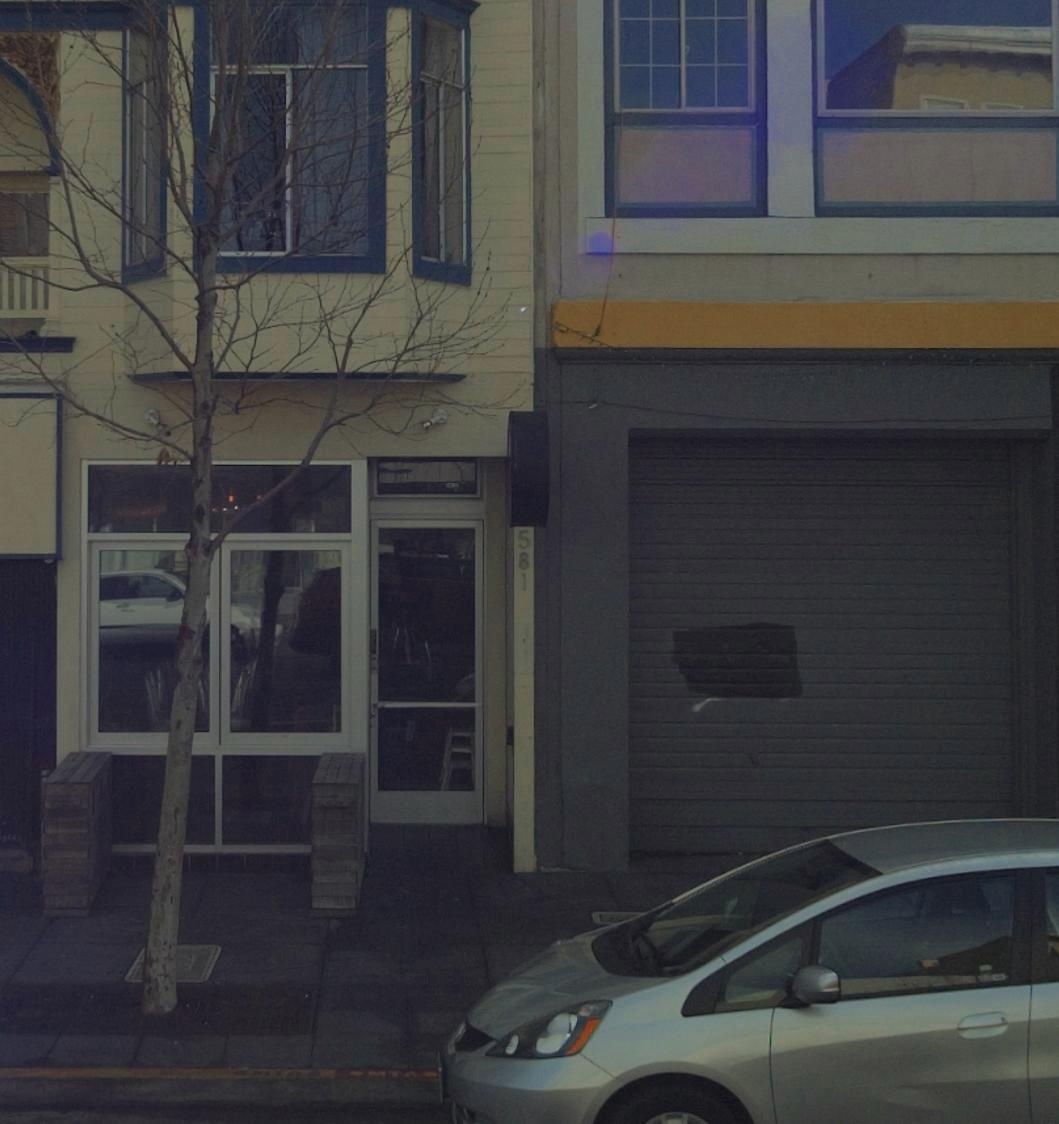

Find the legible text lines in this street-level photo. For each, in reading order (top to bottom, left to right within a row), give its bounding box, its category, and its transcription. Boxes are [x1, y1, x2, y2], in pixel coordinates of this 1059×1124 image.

[517, 529, 531, 592] StreetNumber: 581
[233, 1068, 437, 1078] None: *MTA* *MTA*